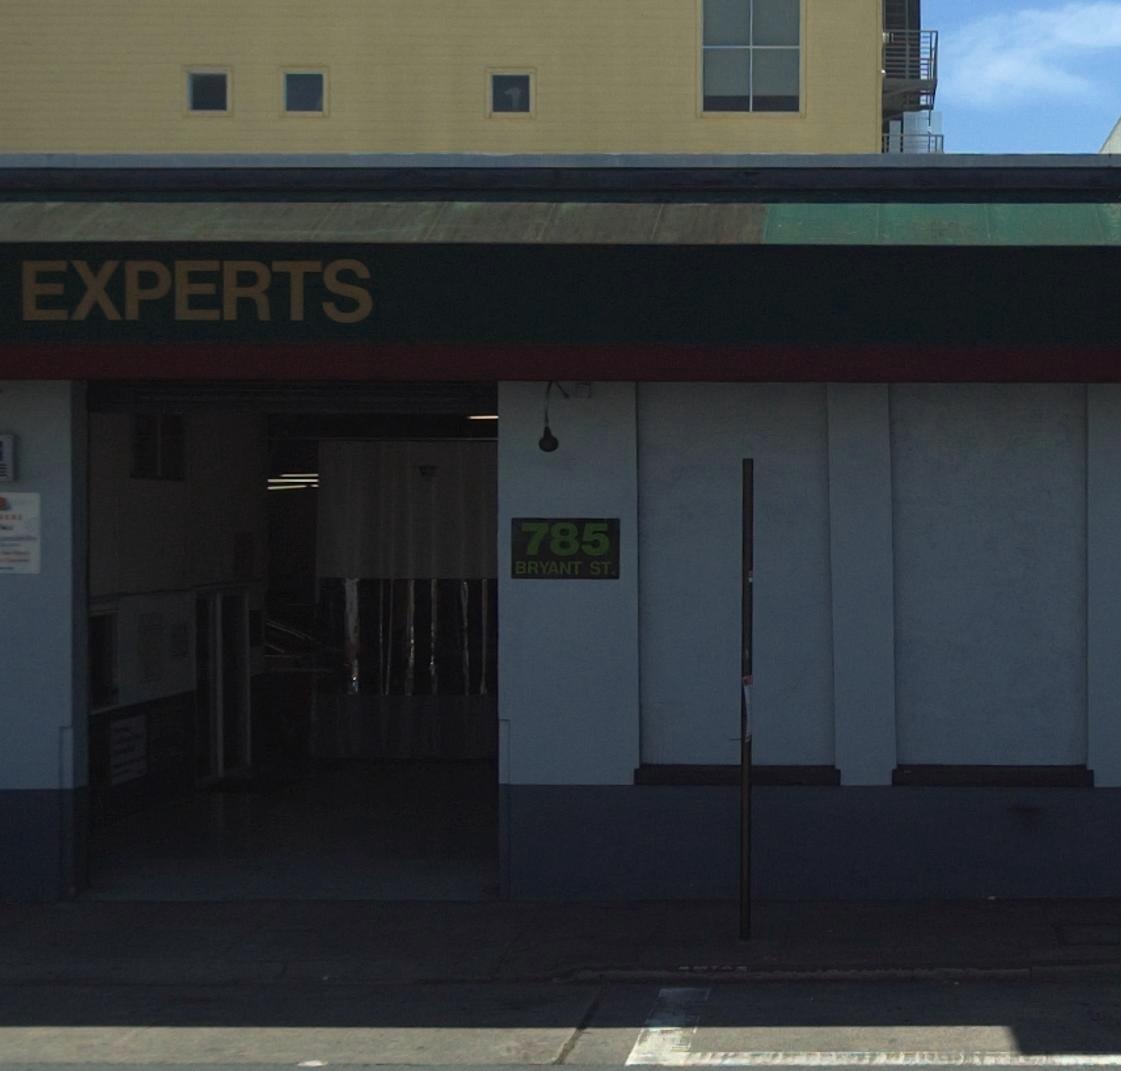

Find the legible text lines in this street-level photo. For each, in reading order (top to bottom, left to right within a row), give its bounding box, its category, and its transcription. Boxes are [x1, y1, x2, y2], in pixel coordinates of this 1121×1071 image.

[20, 258, 376, 325] BusinessName: EXPERTS
[521, 521, 611, 557] StreetNumber: 785
[515, 560, 616, 576] StreetName: BRYANT ST.